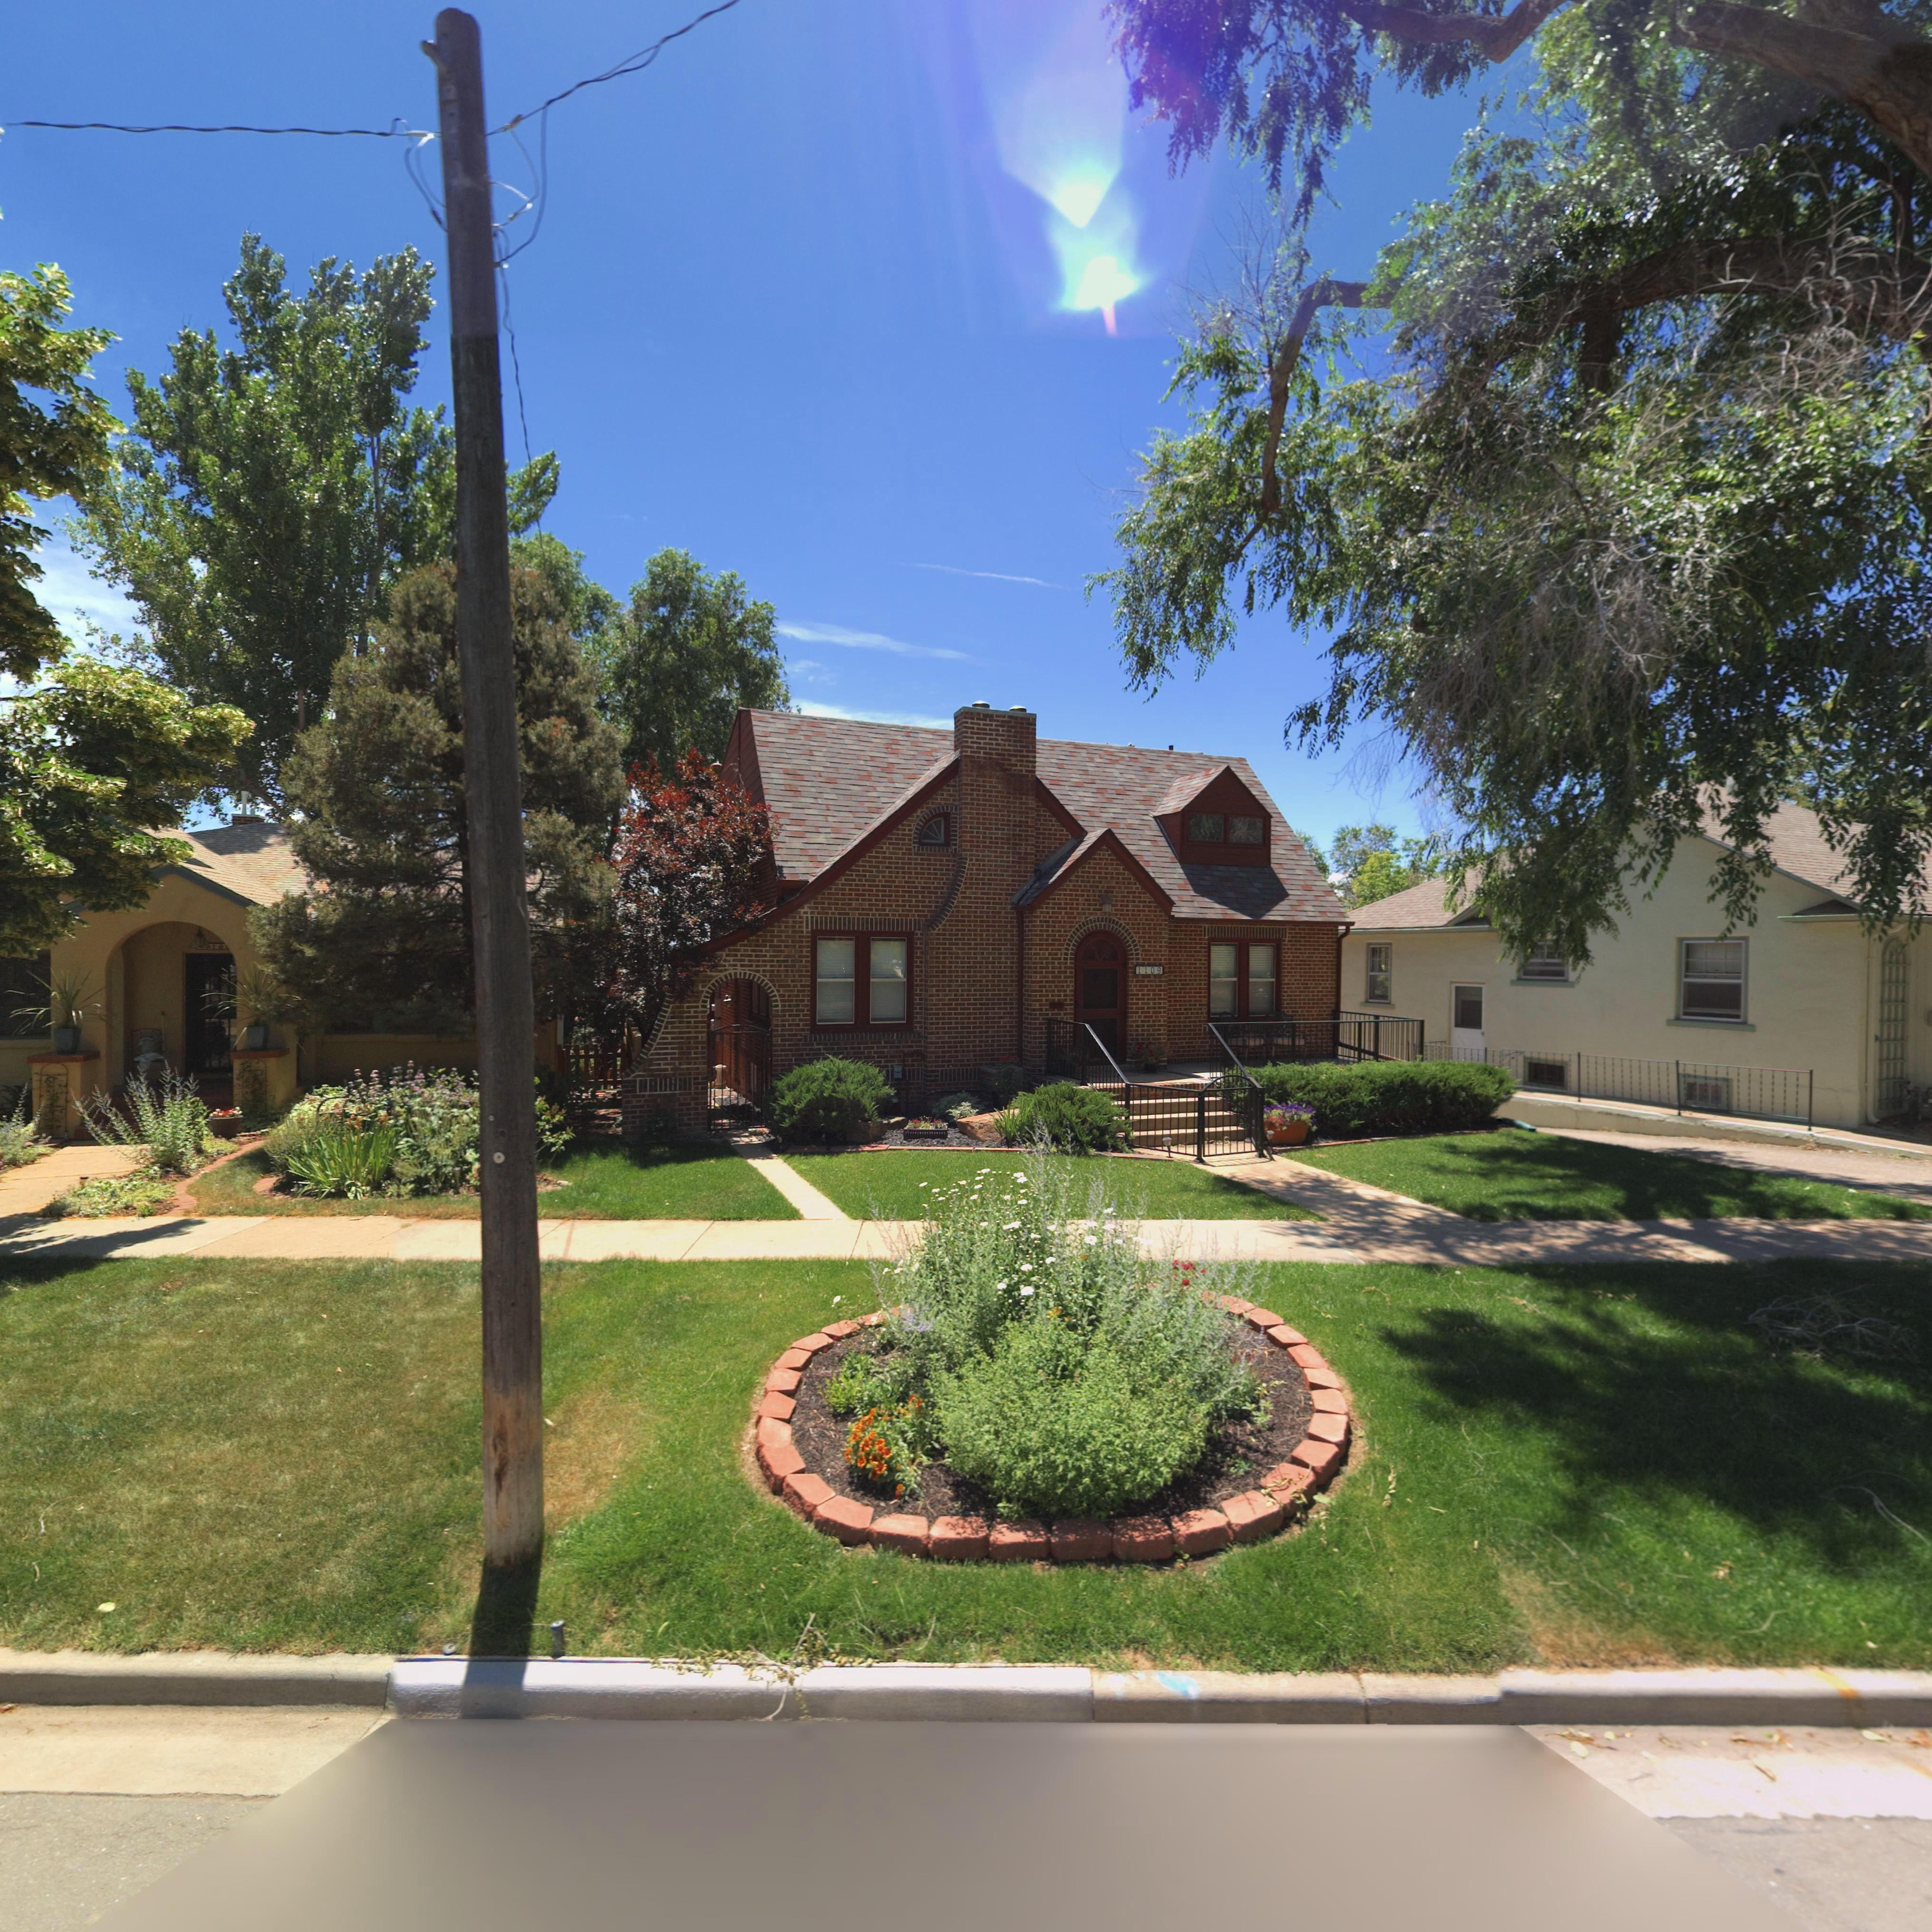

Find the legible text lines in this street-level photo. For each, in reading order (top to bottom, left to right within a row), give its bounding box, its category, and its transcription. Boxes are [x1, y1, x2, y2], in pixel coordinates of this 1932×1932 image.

[205, 943, 229, 949] StreetNumber: *10*
[1138, 966, 1160, 974] StreetNumber: 1109